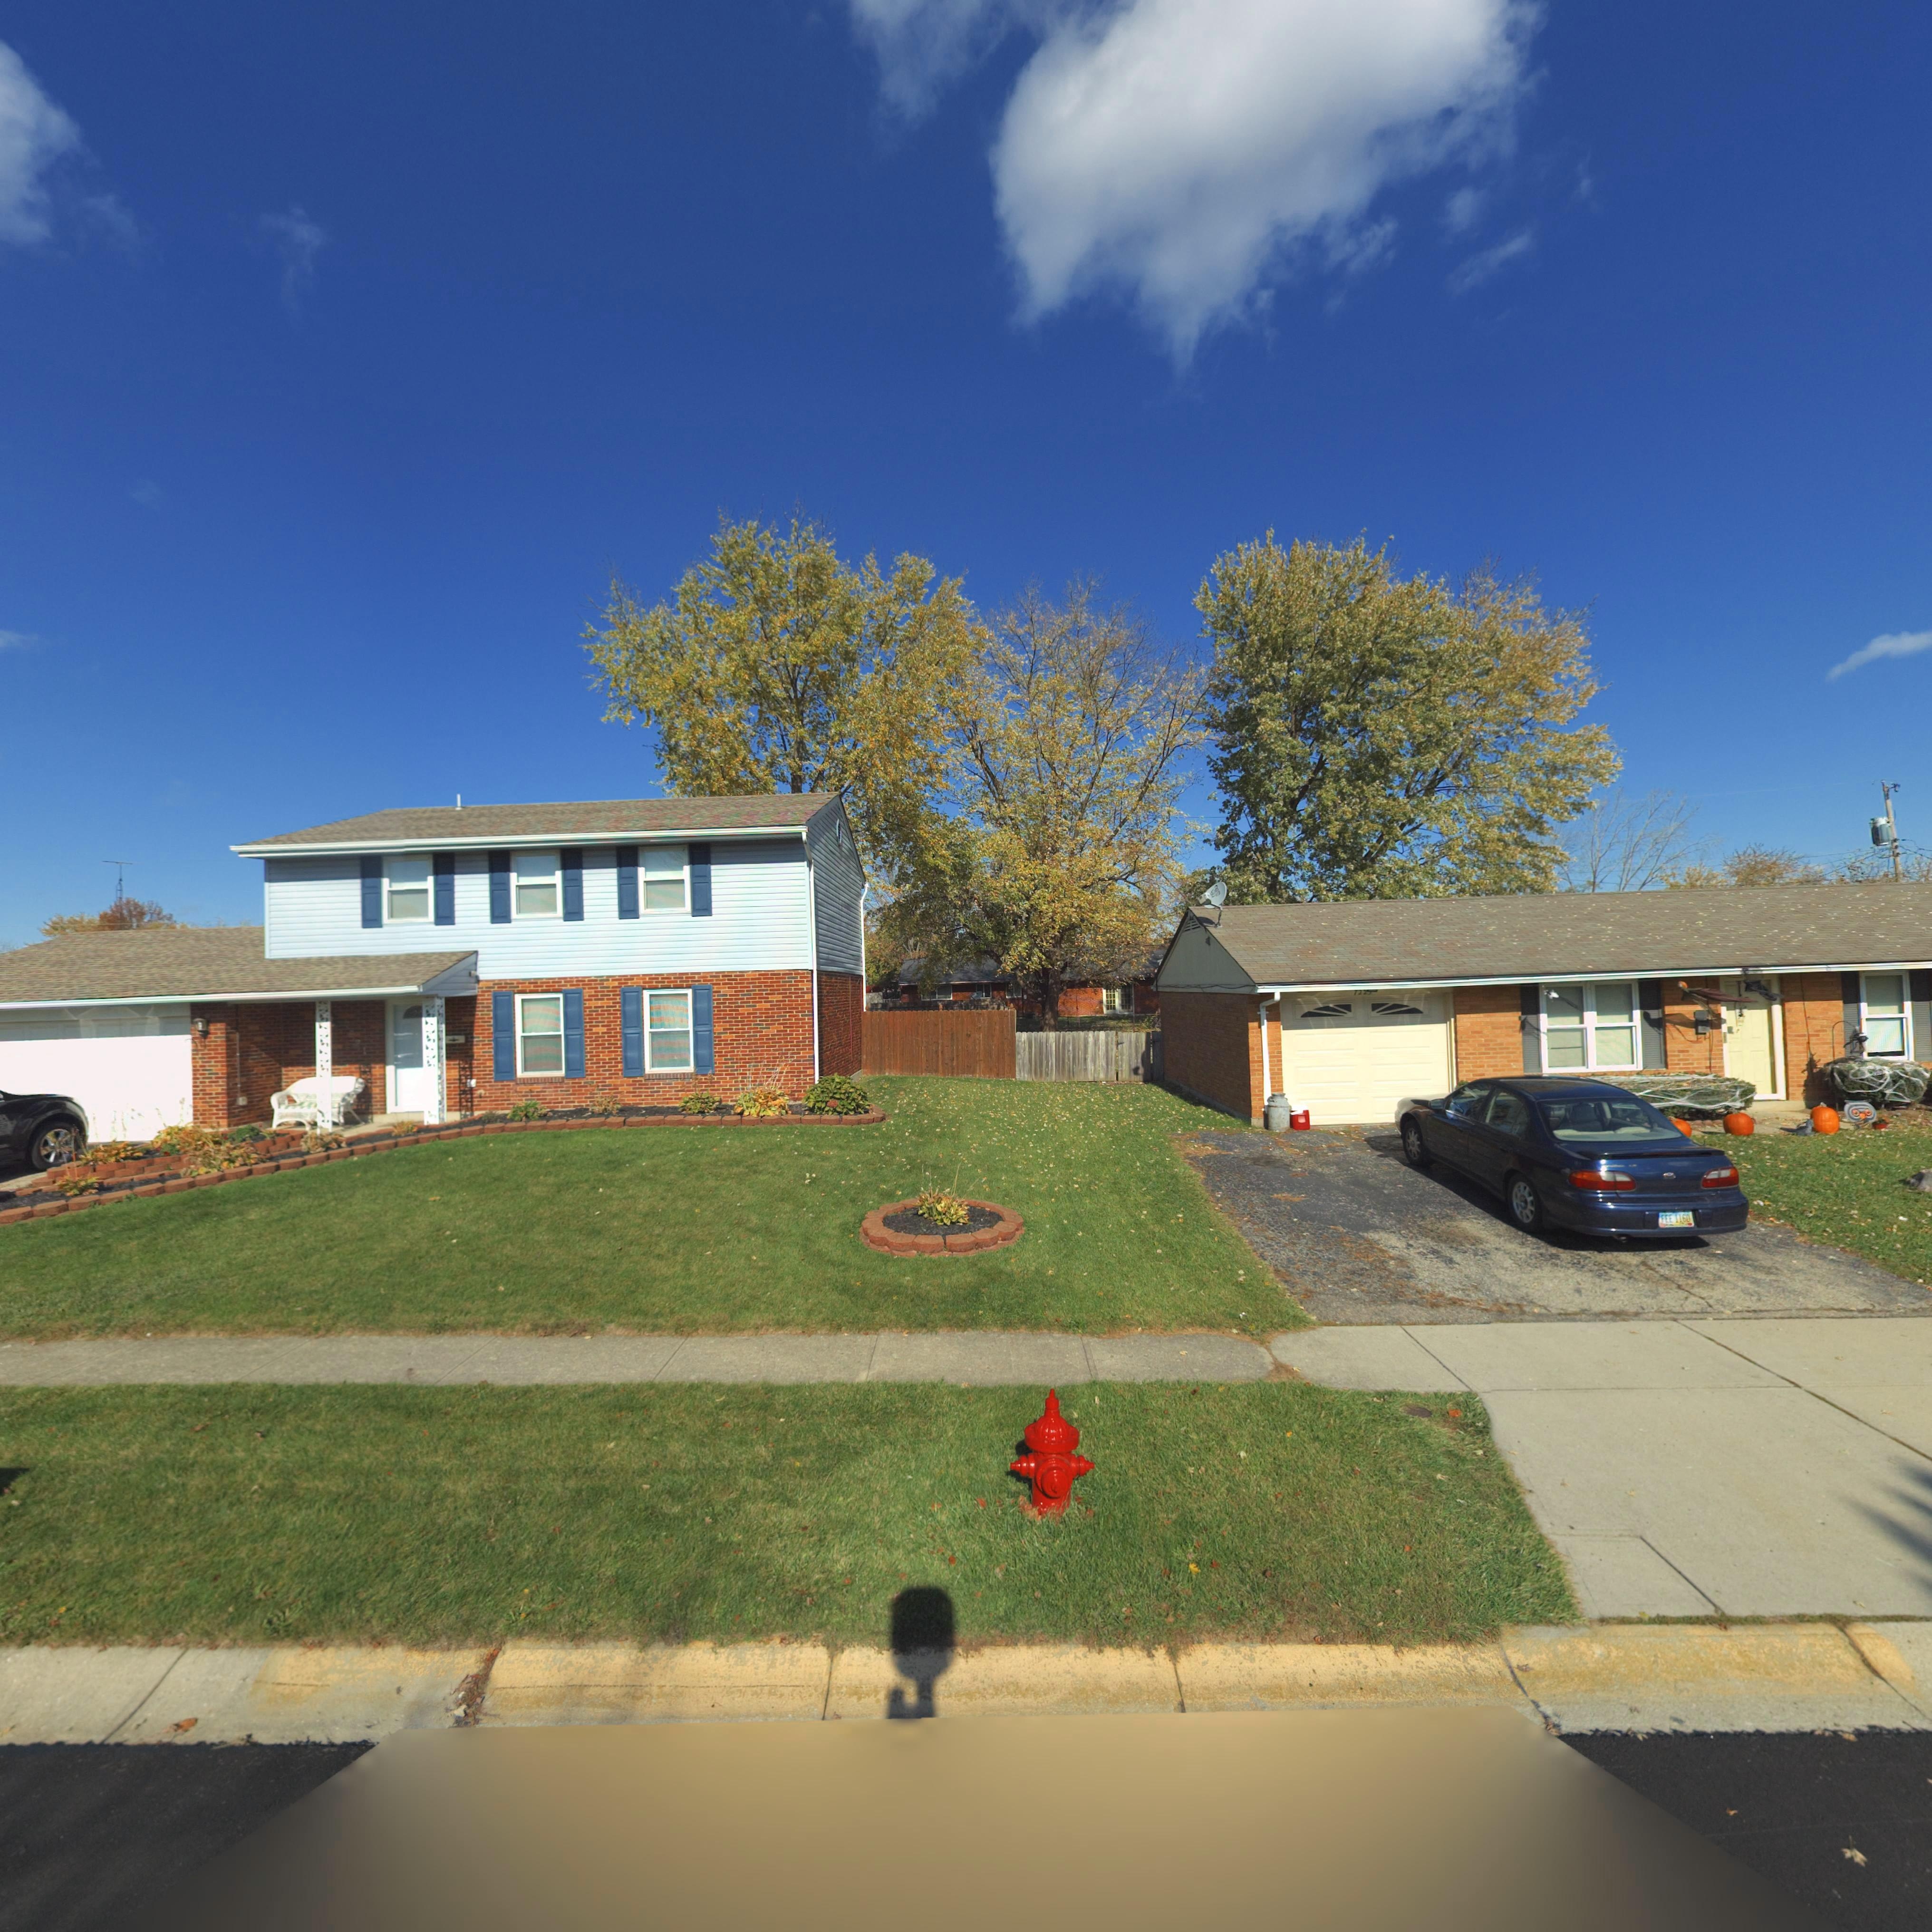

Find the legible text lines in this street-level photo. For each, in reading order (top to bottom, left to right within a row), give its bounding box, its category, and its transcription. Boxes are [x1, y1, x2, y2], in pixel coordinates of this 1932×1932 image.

[1353, 989, 1363, 996] StreetNumber: 72